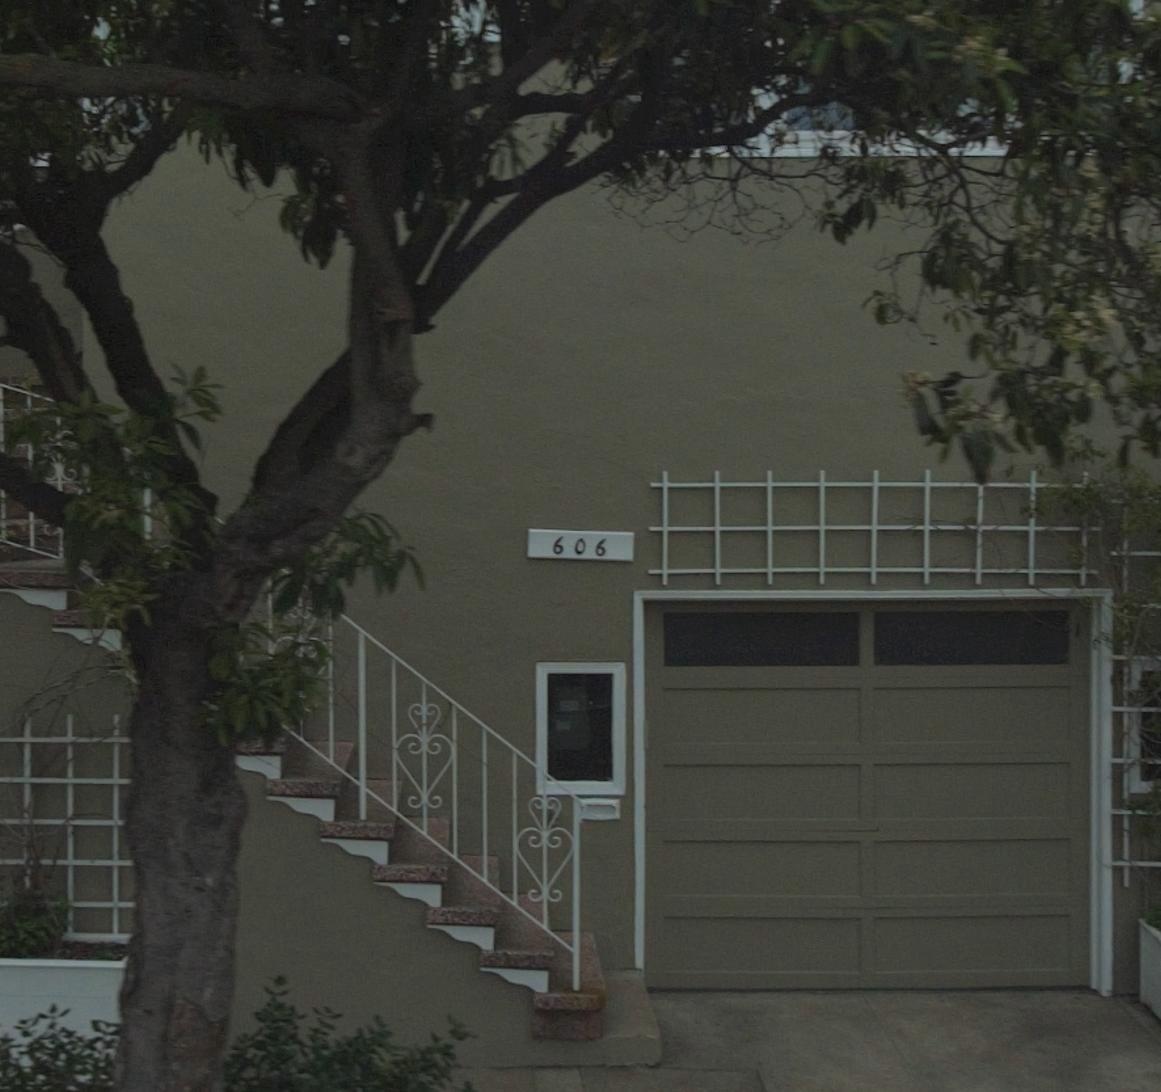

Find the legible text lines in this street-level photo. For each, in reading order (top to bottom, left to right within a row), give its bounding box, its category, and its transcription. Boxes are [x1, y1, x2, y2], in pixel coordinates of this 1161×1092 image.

[551, 534, 607, 558] StreetNumber: 606